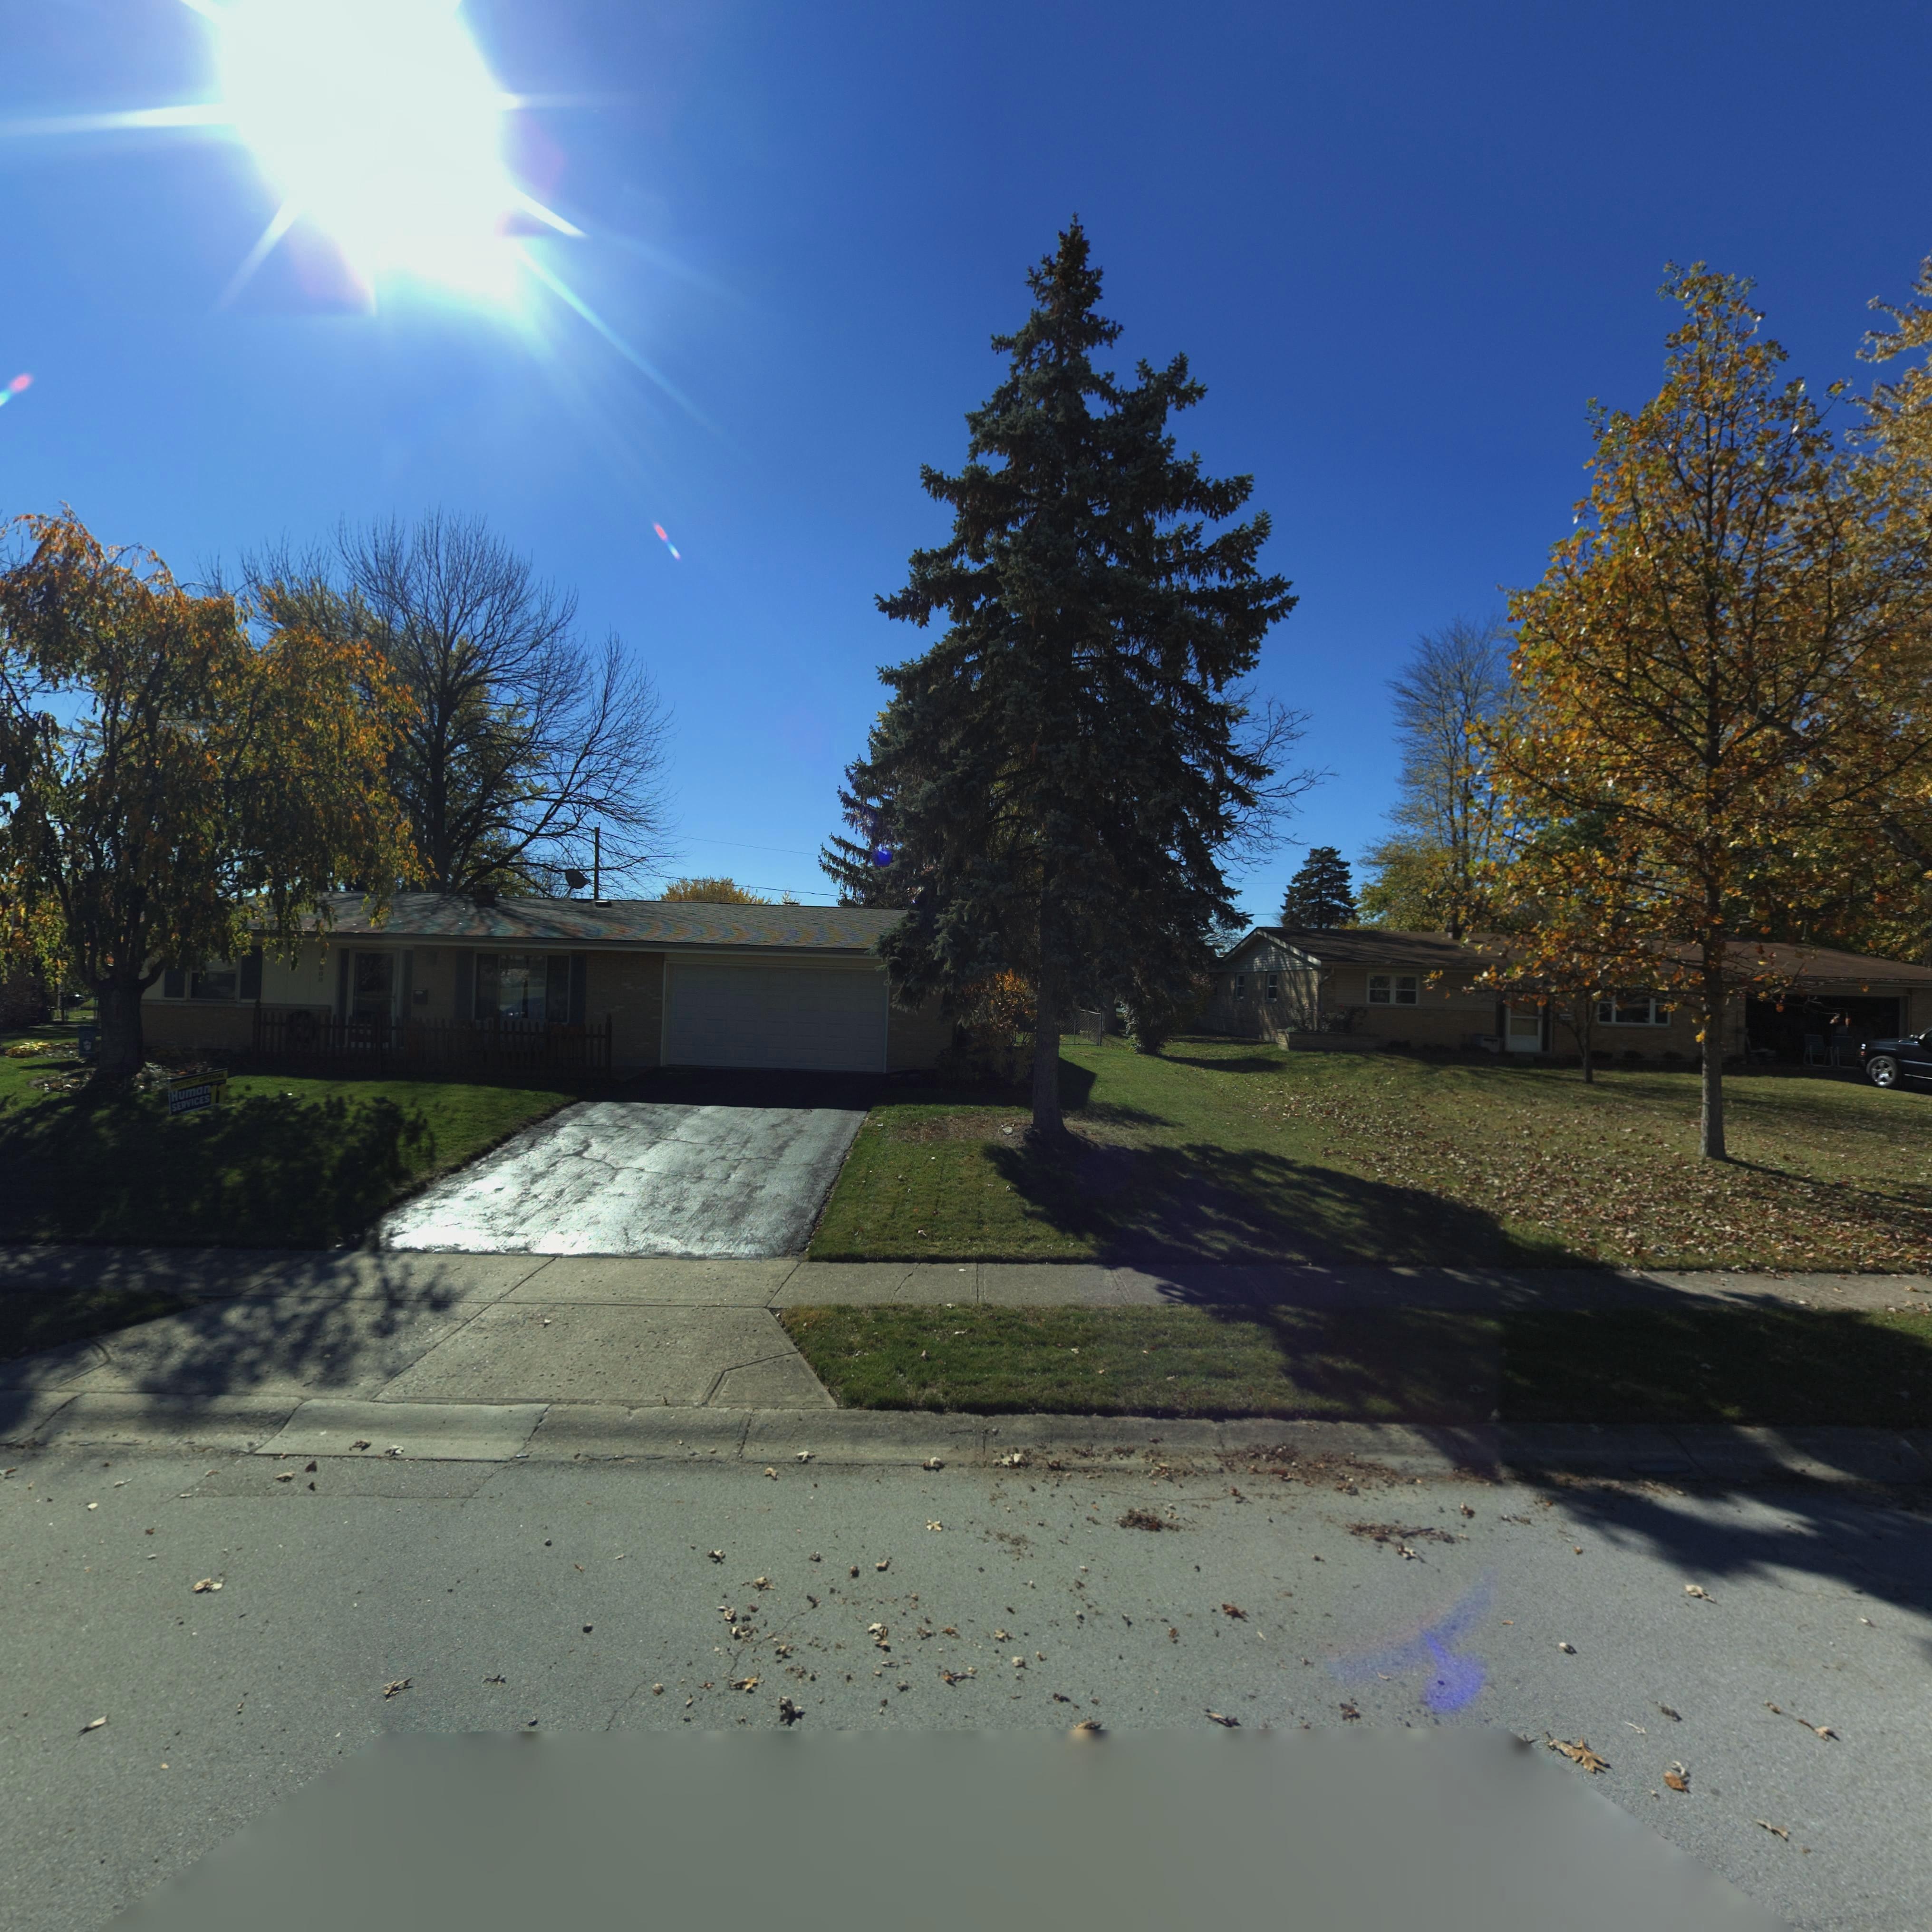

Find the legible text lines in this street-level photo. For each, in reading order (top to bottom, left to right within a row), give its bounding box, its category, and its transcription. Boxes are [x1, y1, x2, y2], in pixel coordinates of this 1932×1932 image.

[318, 964, 324, 983] StreetNumber: 008